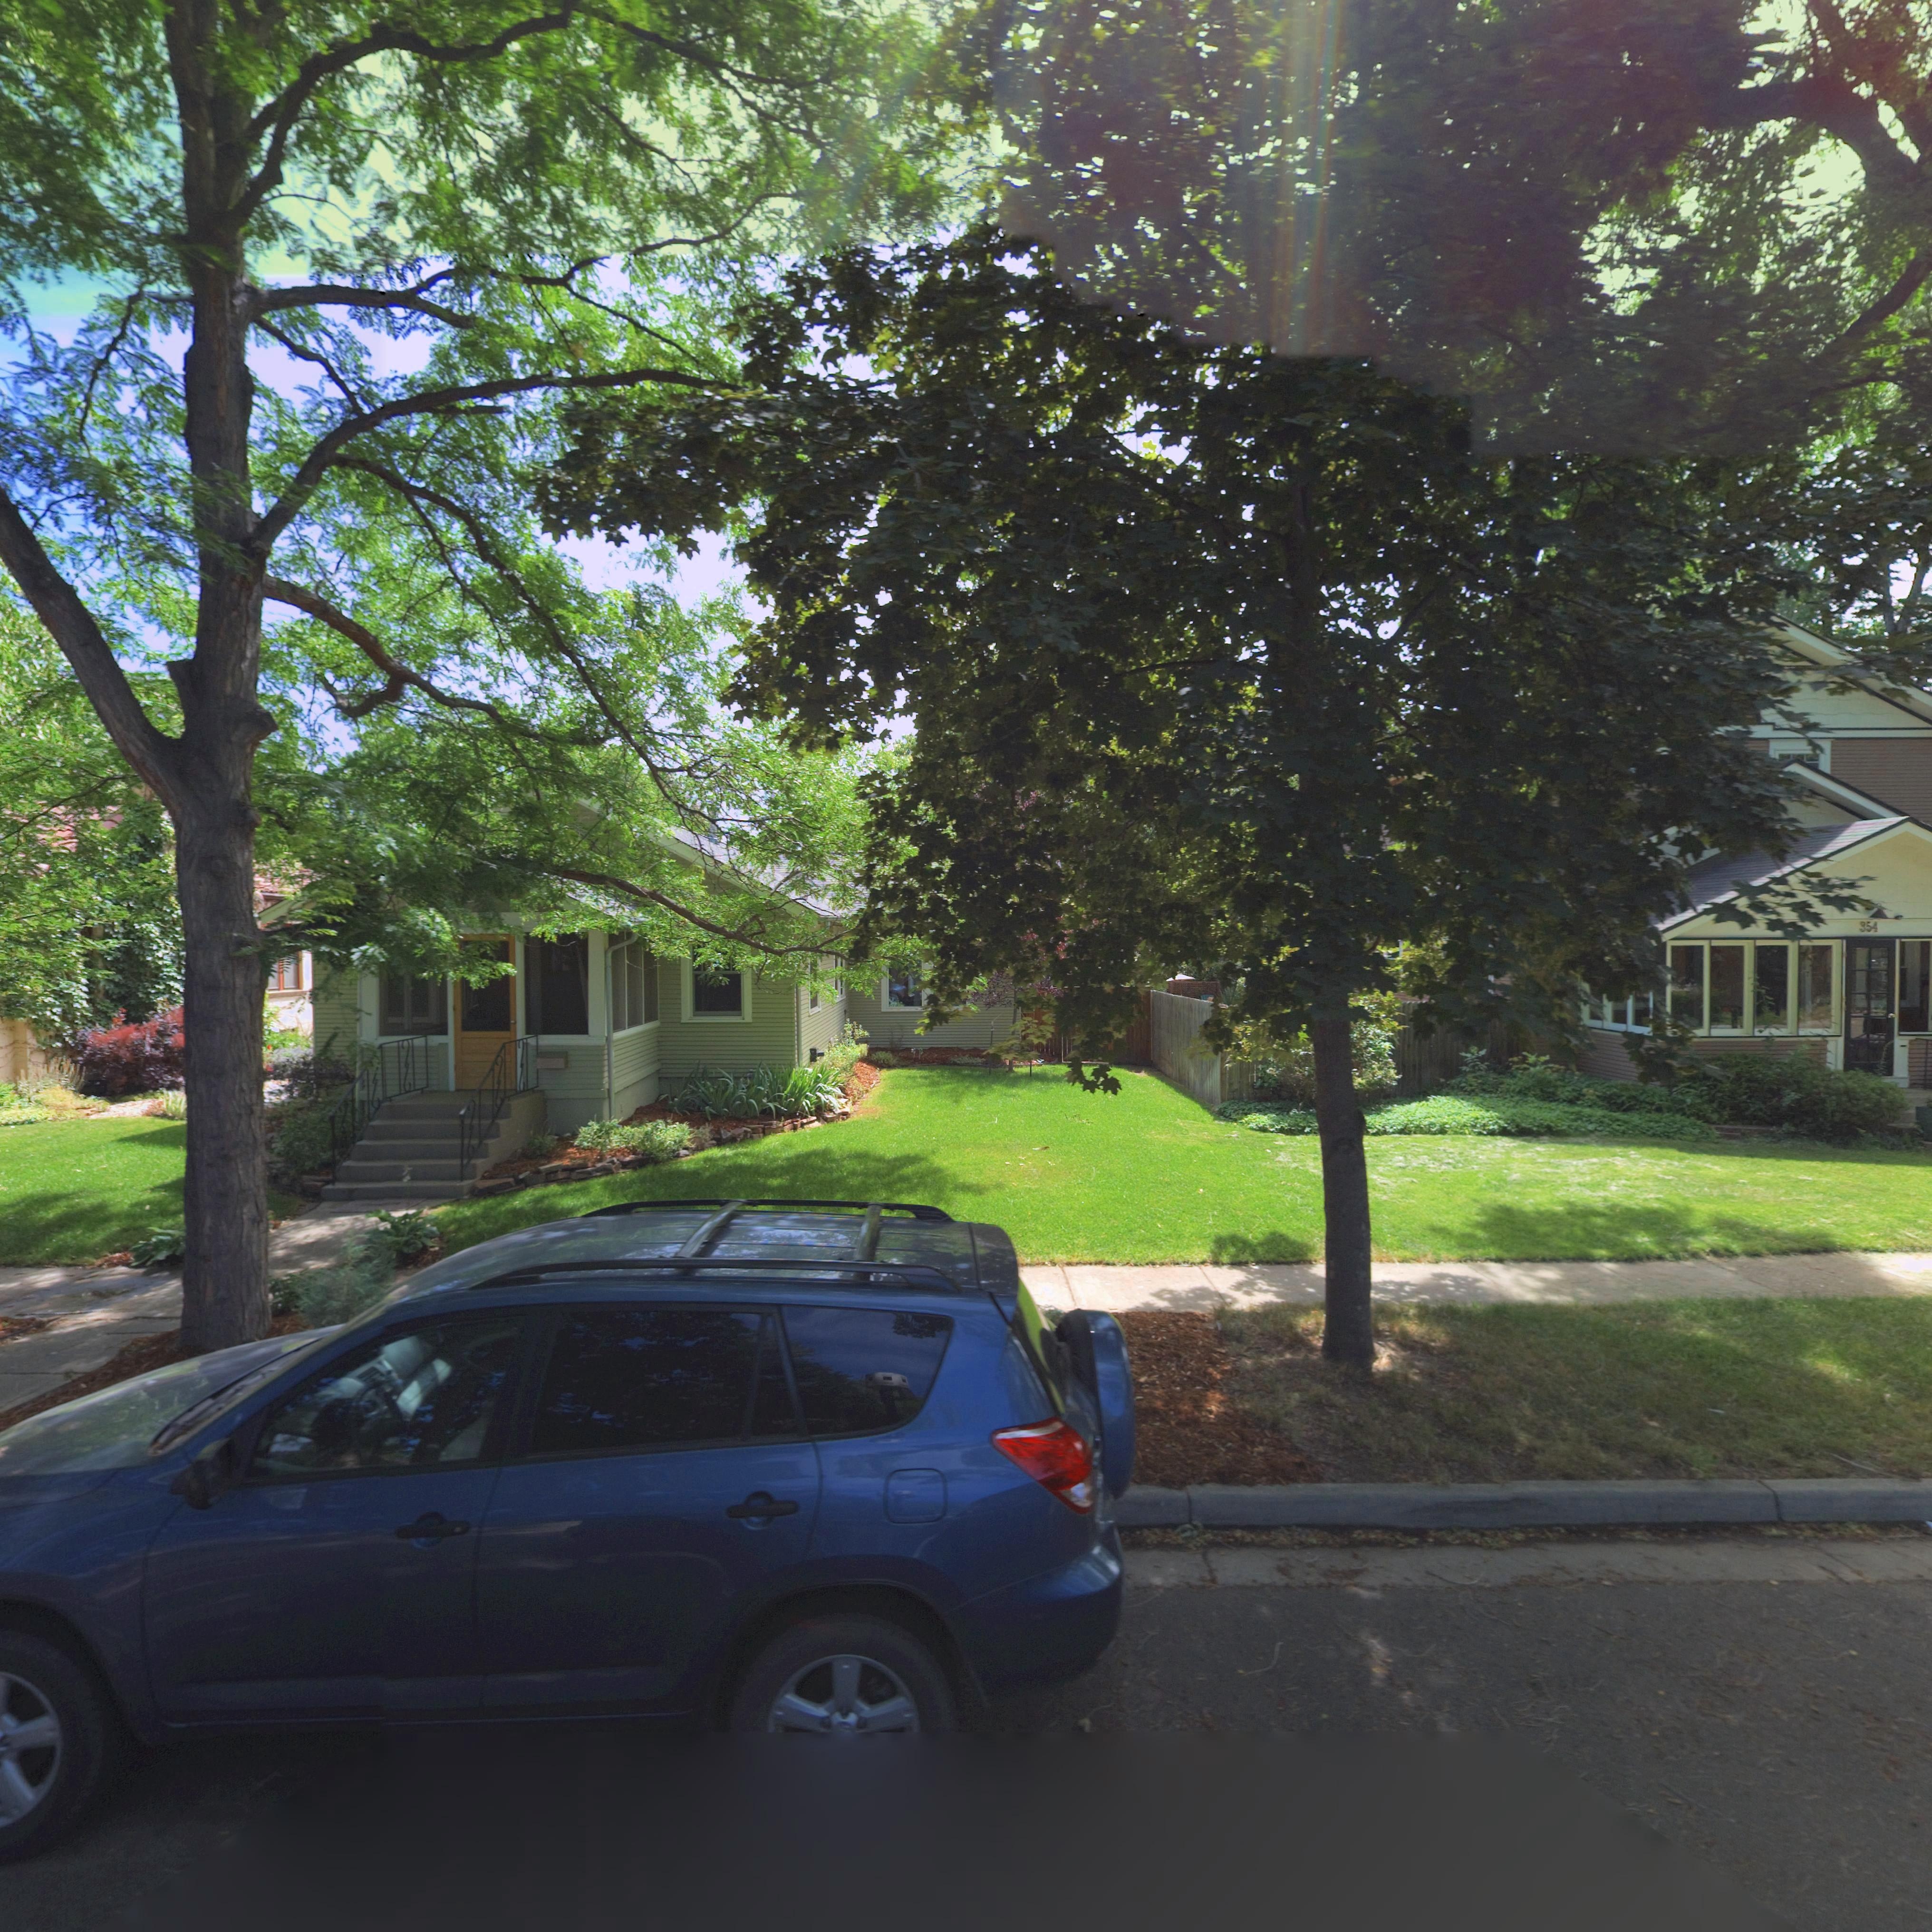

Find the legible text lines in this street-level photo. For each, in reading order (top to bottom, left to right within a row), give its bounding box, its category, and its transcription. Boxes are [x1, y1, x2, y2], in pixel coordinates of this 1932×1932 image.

[1859, 921, 1878, 933] StreetNumber: 354